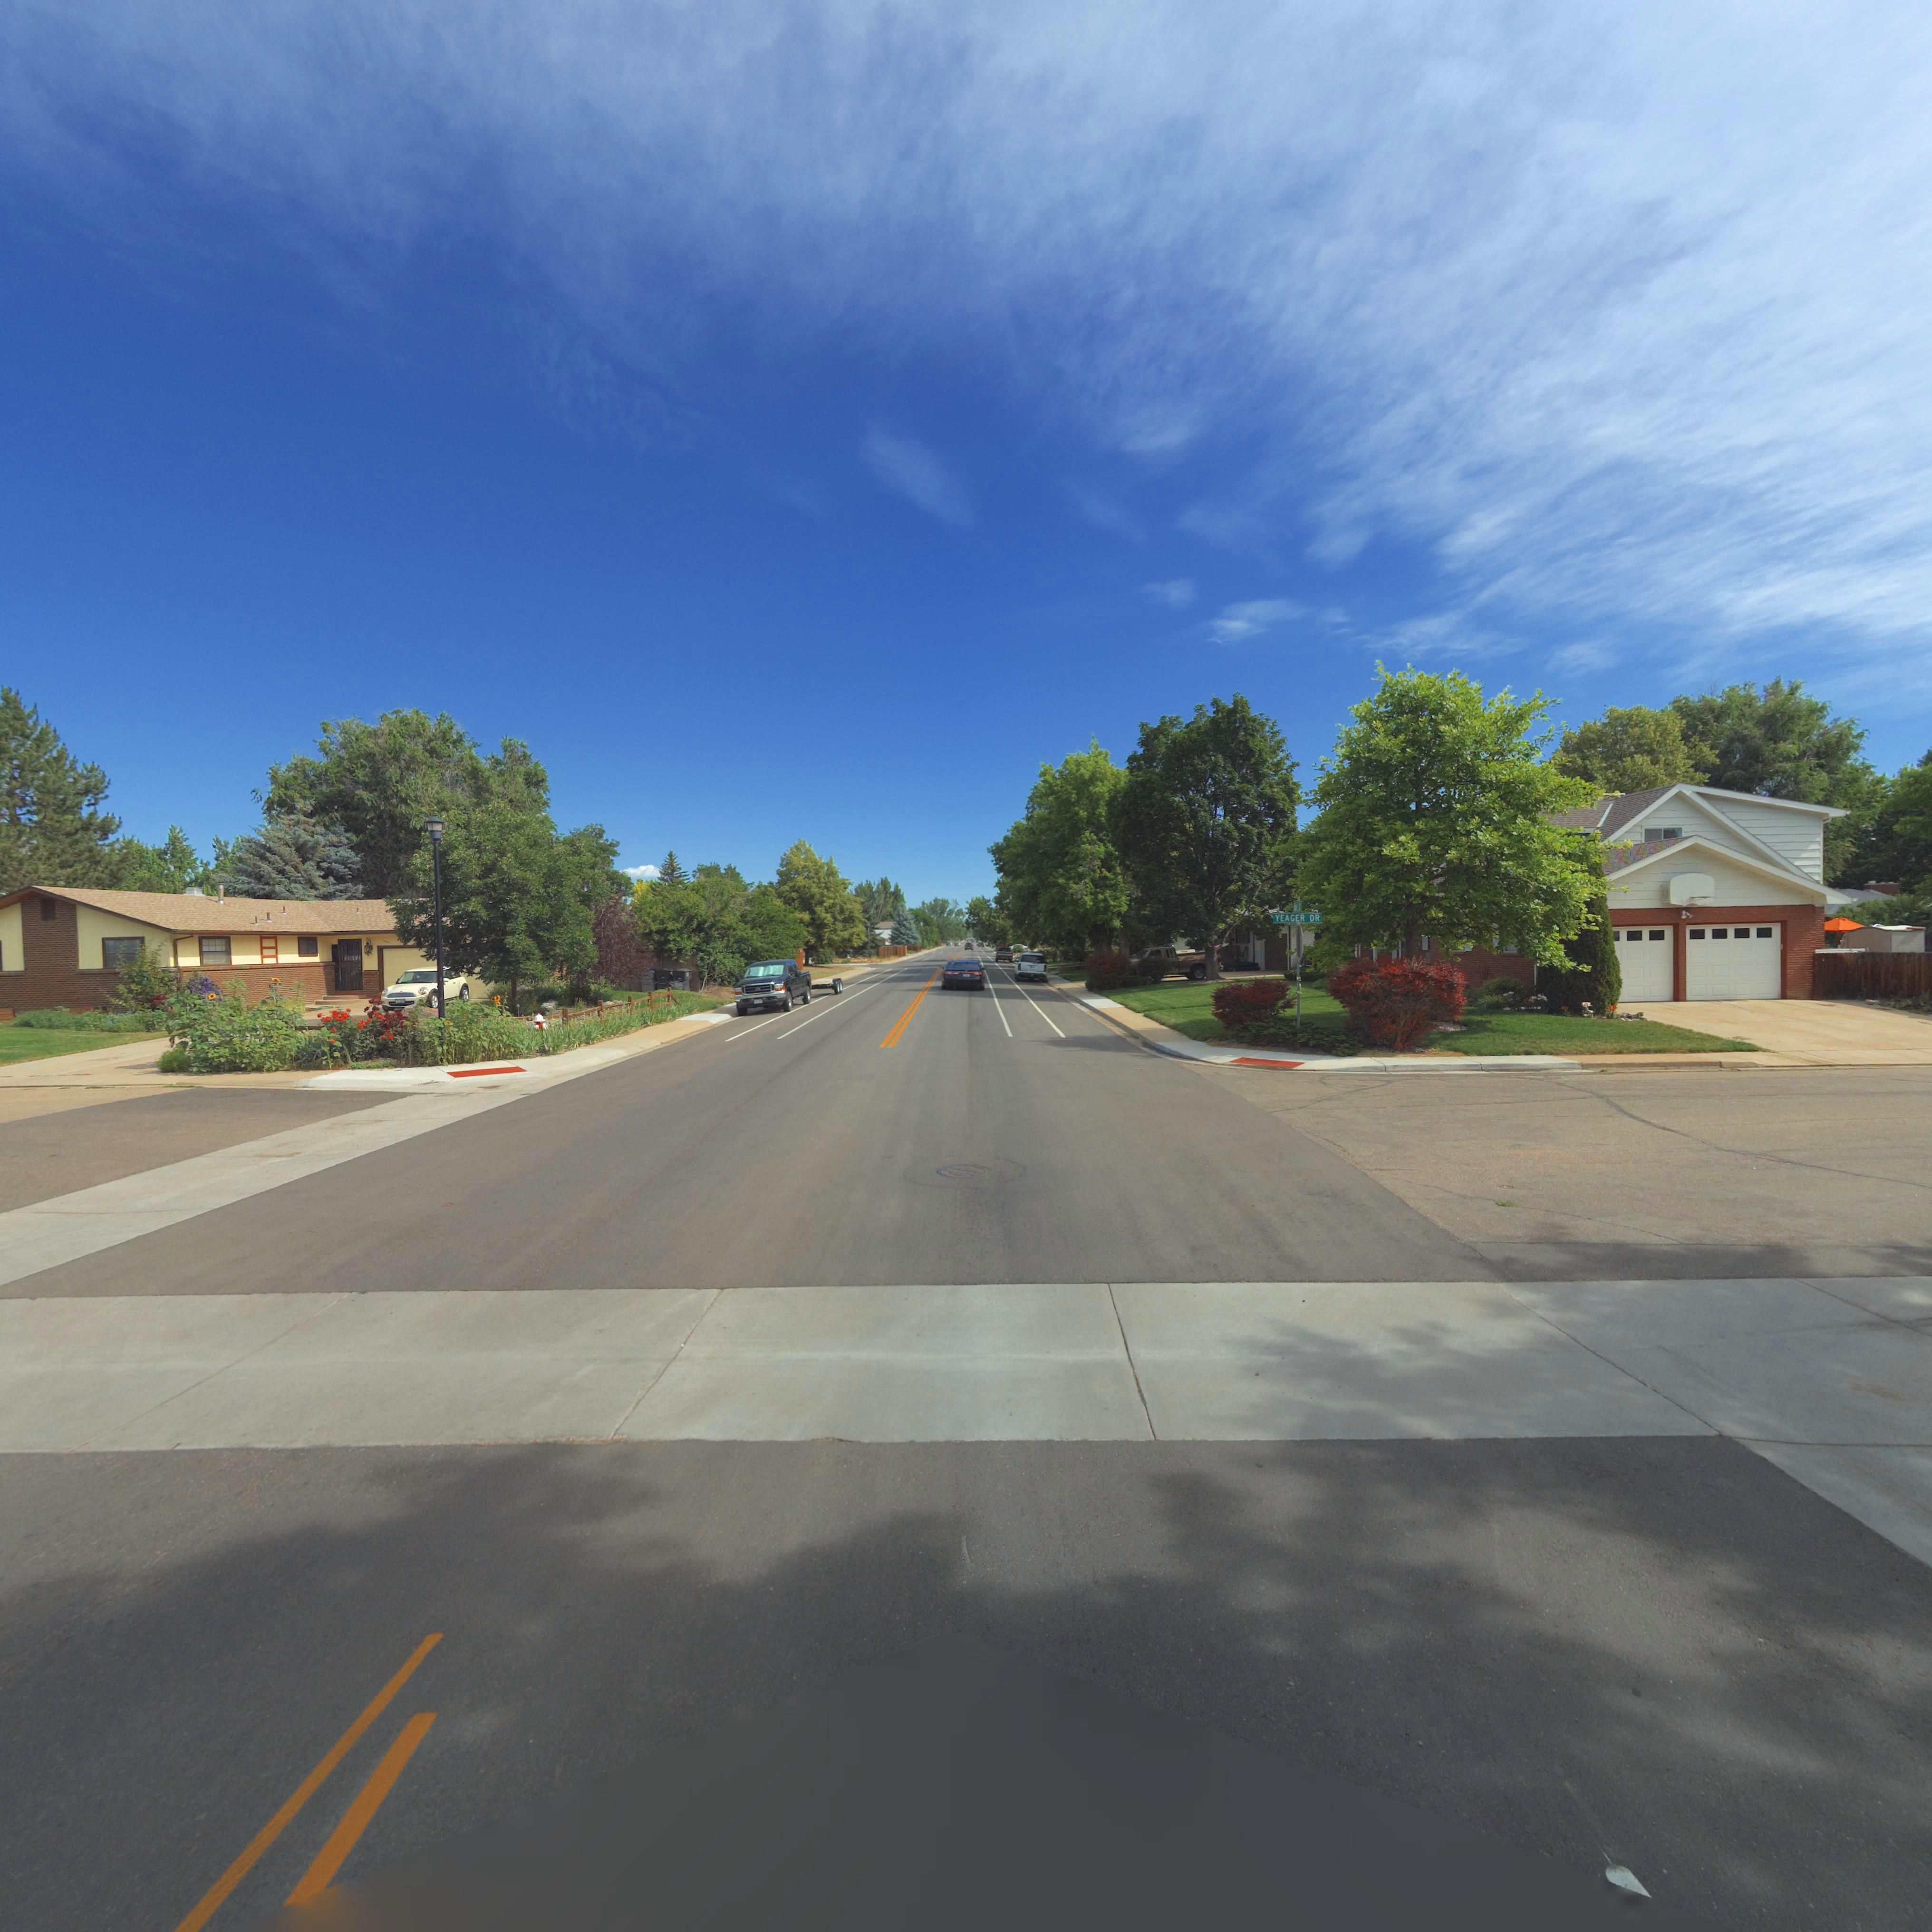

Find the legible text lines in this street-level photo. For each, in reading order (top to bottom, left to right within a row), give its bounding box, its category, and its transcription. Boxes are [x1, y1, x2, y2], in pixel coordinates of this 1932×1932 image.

[1274, 913, 1320, 922] StreetName: YEAGER DR